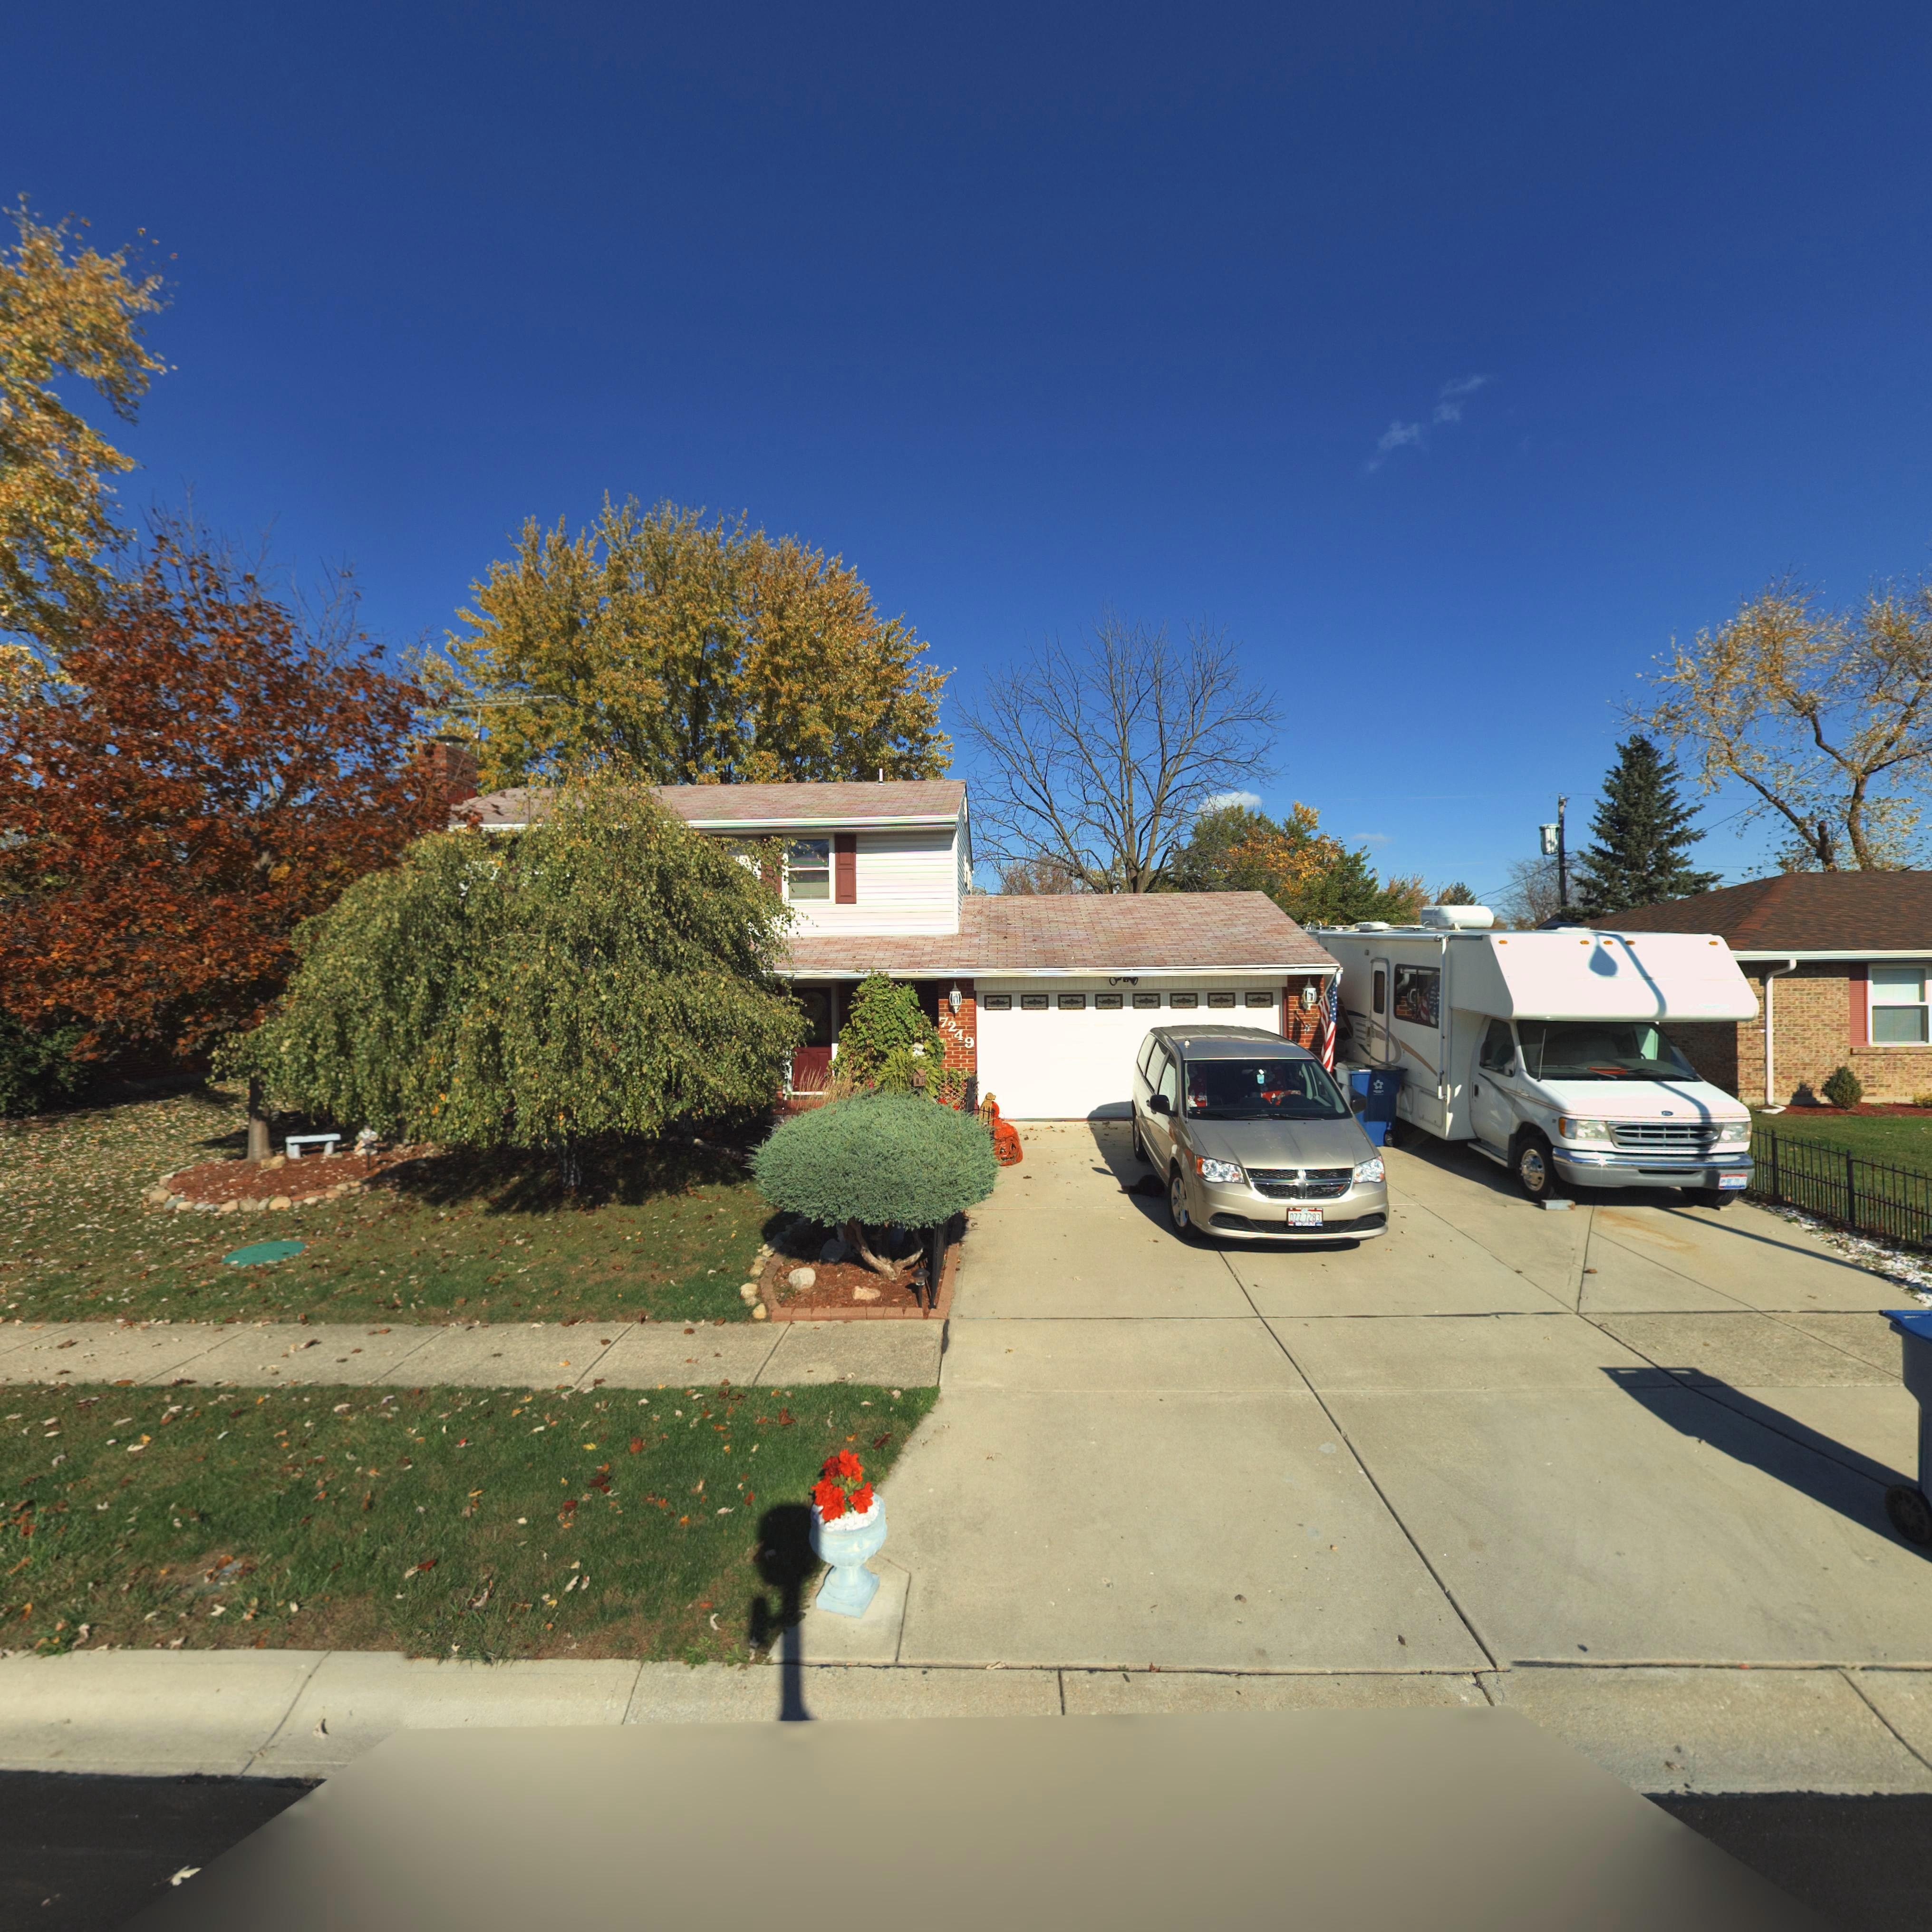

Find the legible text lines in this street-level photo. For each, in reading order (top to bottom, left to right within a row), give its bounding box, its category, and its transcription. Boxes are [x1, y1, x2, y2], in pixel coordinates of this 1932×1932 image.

[938, 1016, 976, 1051] StreetNumber: 7249